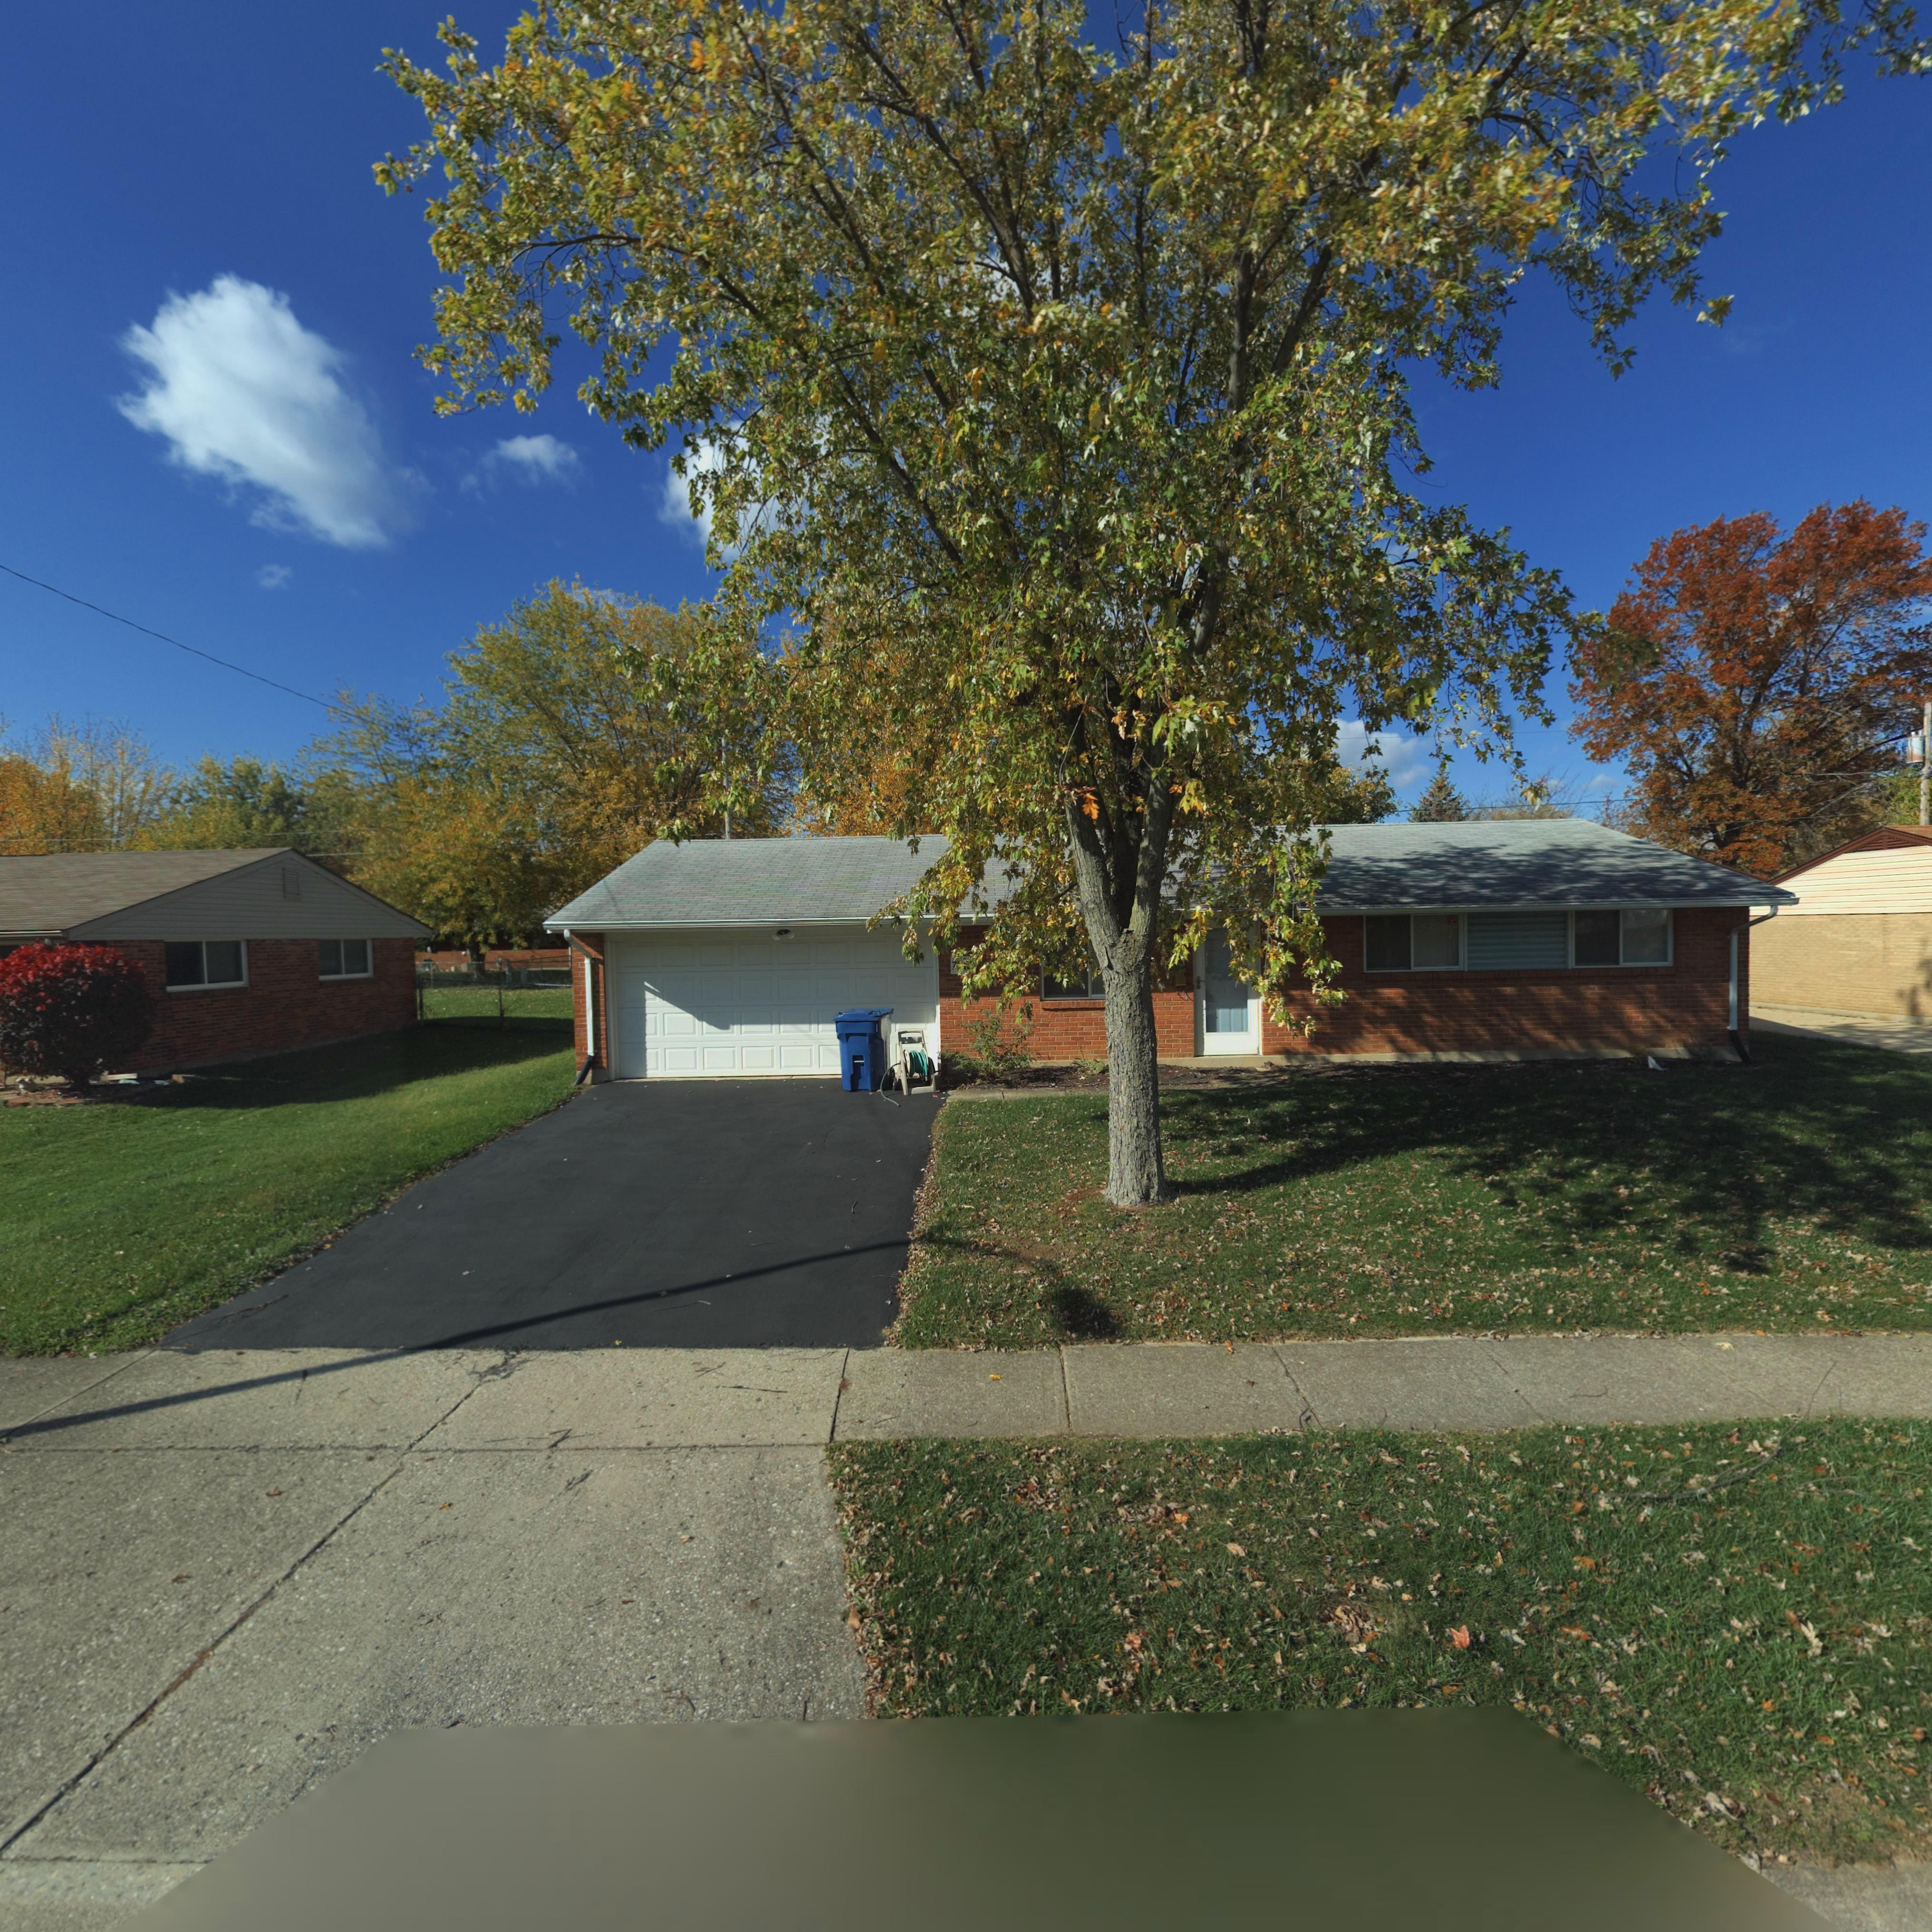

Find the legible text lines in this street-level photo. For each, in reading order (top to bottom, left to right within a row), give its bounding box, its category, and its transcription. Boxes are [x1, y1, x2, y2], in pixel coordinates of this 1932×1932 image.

[951, 960, 958, 971] StreetNumber: 7